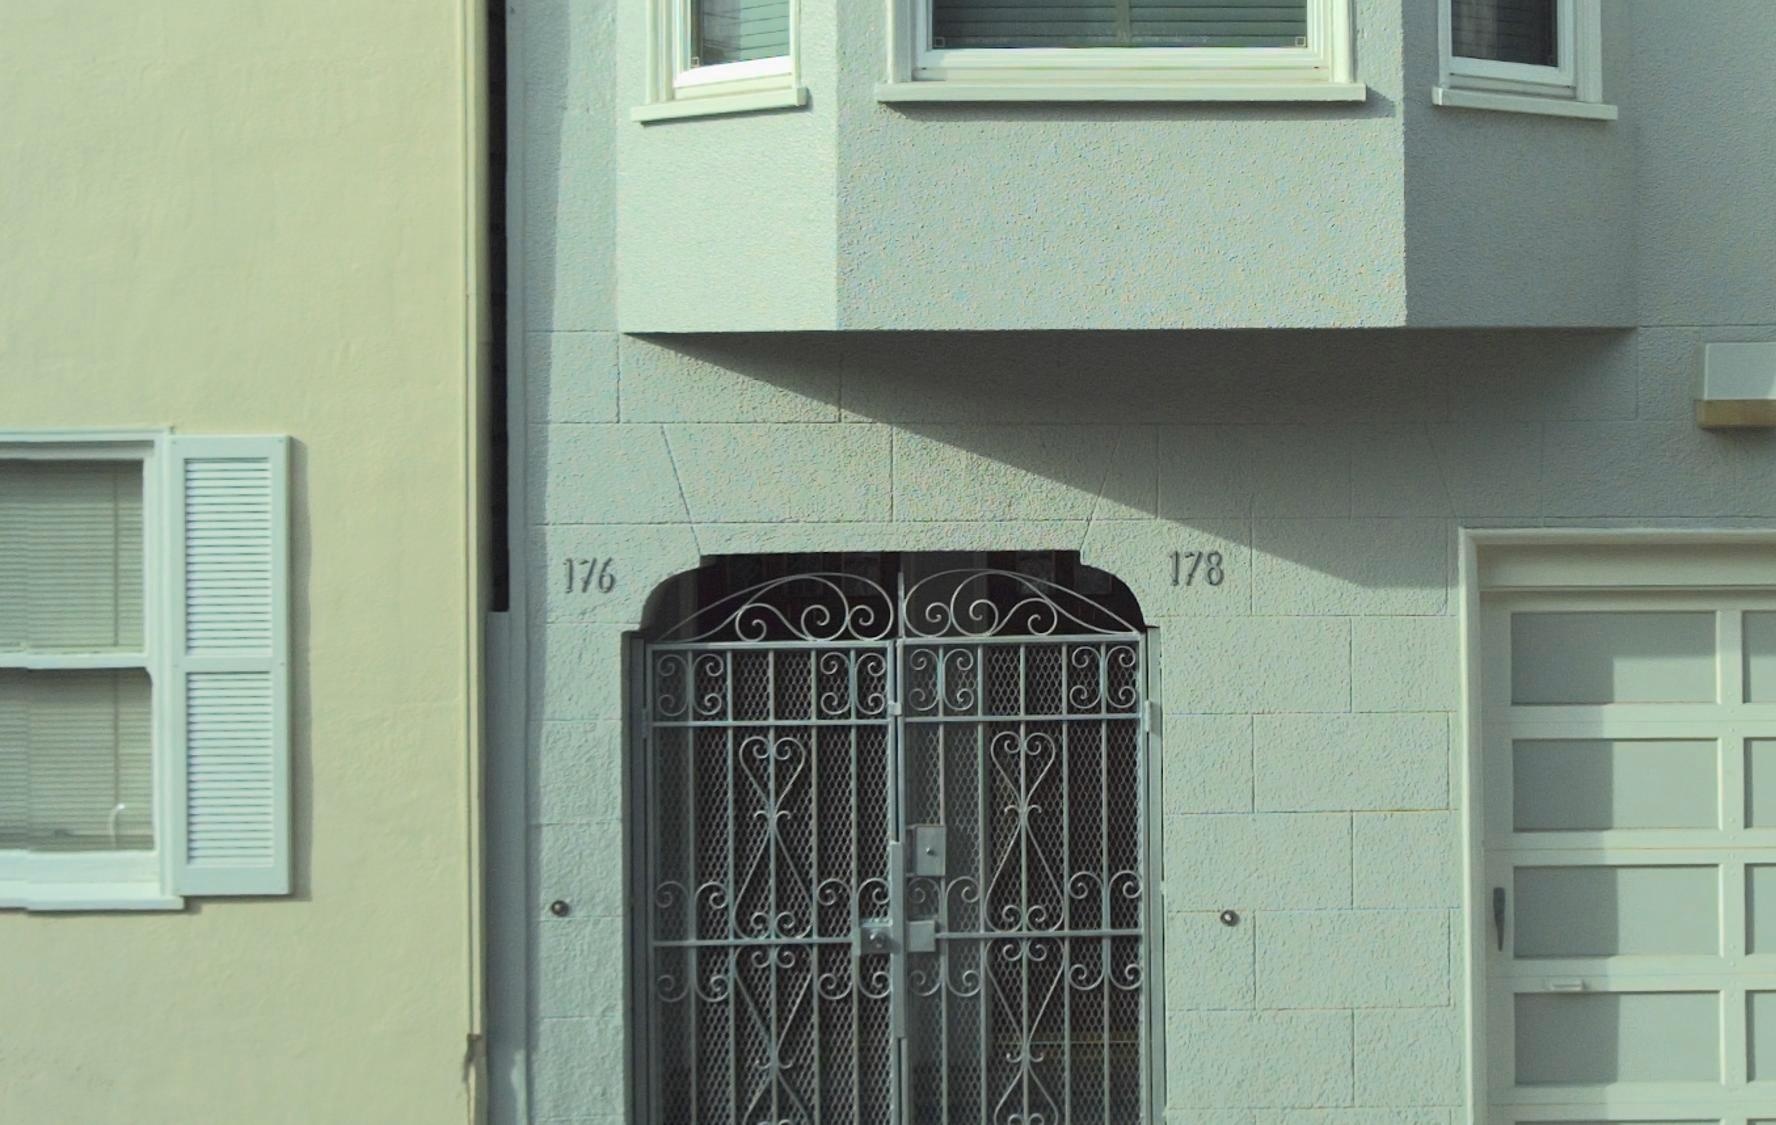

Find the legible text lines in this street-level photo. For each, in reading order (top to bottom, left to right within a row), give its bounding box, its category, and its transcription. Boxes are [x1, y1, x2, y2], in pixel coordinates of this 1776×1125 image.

[560, 553, 618, 598] StreetNumber: 176
[1166, 547, 1226, 588] StreetNumber: 178